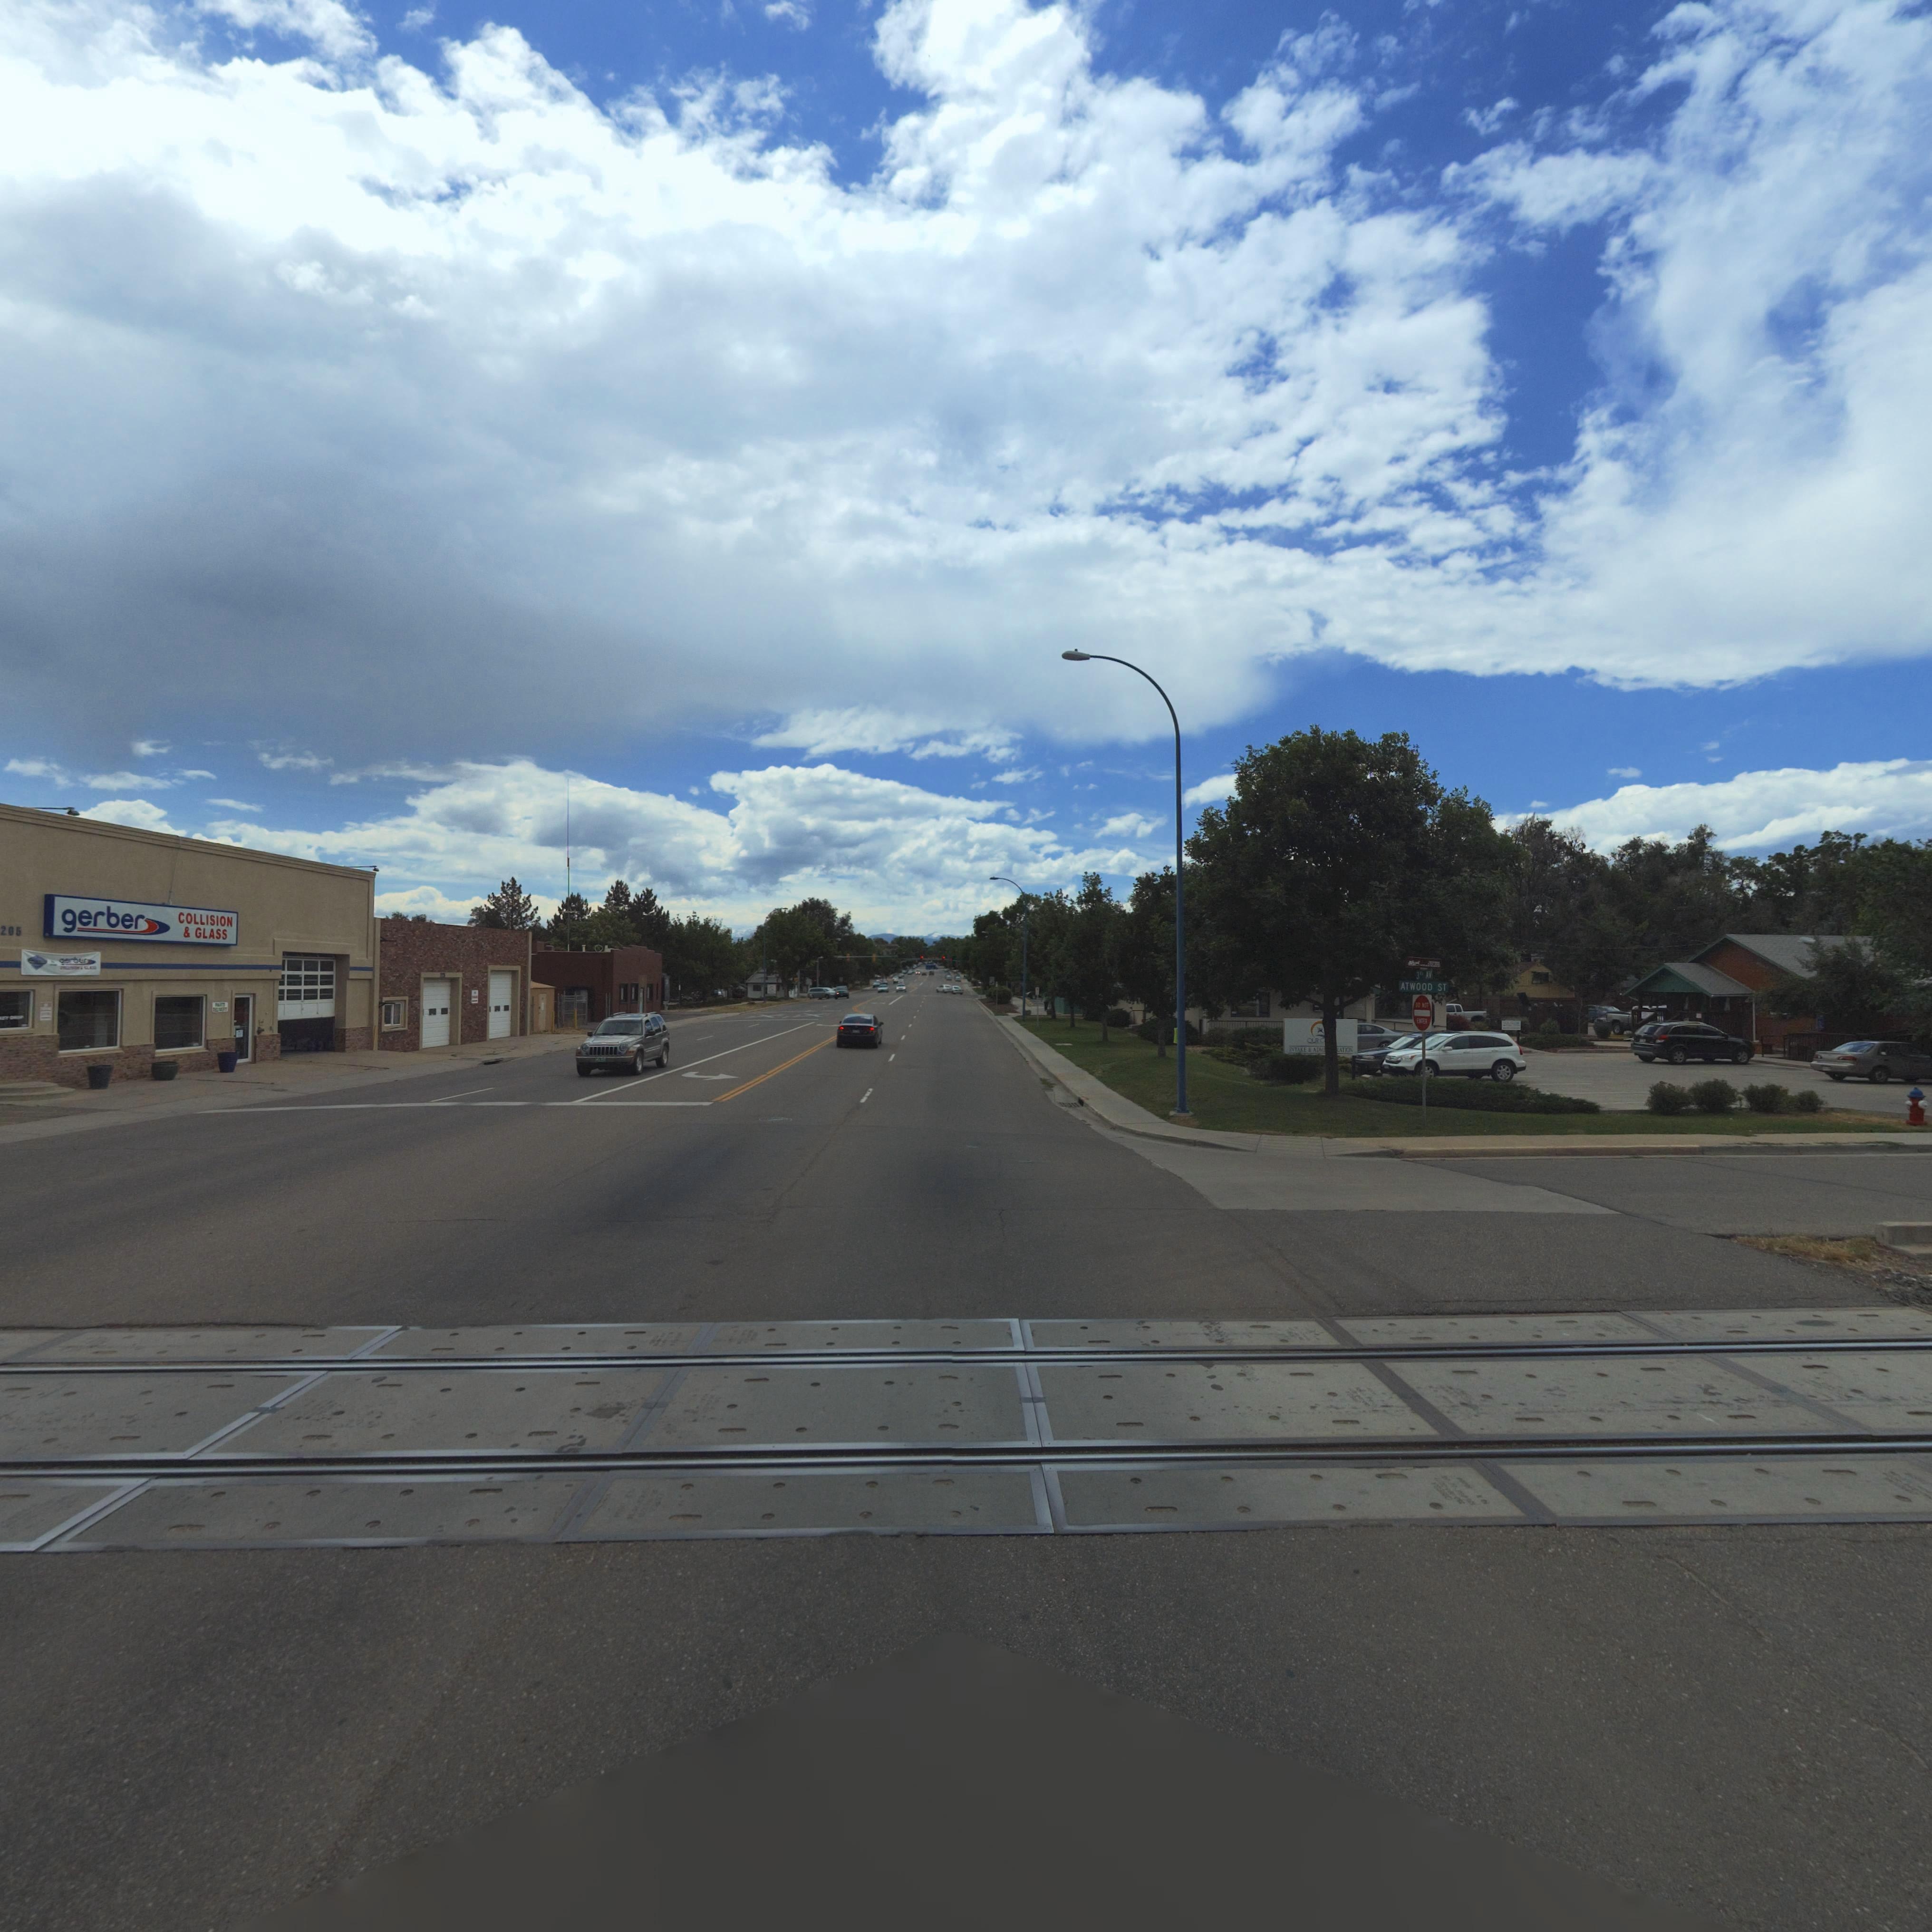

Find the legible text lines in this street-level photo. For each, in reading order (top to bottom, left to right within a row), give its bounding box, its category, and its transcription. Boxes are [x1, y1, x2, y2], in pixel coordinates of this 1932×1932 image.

[60, 905, 145, 933] BusinessName: gerber
[178, 911, 233, 927] BusinessName: COLLISION
[0, 926, 22, 937] StreetNumber: 205
[183, 926, 228, 940] BusinessName: * GLASS
[1416, 970, 1432, 979] StreetName: 3rd Av
[1400, 981, 1447, 991] StreetName: ATWOOD ST
[1306, 1037, 1325, 1043] BusinessName: OUT C